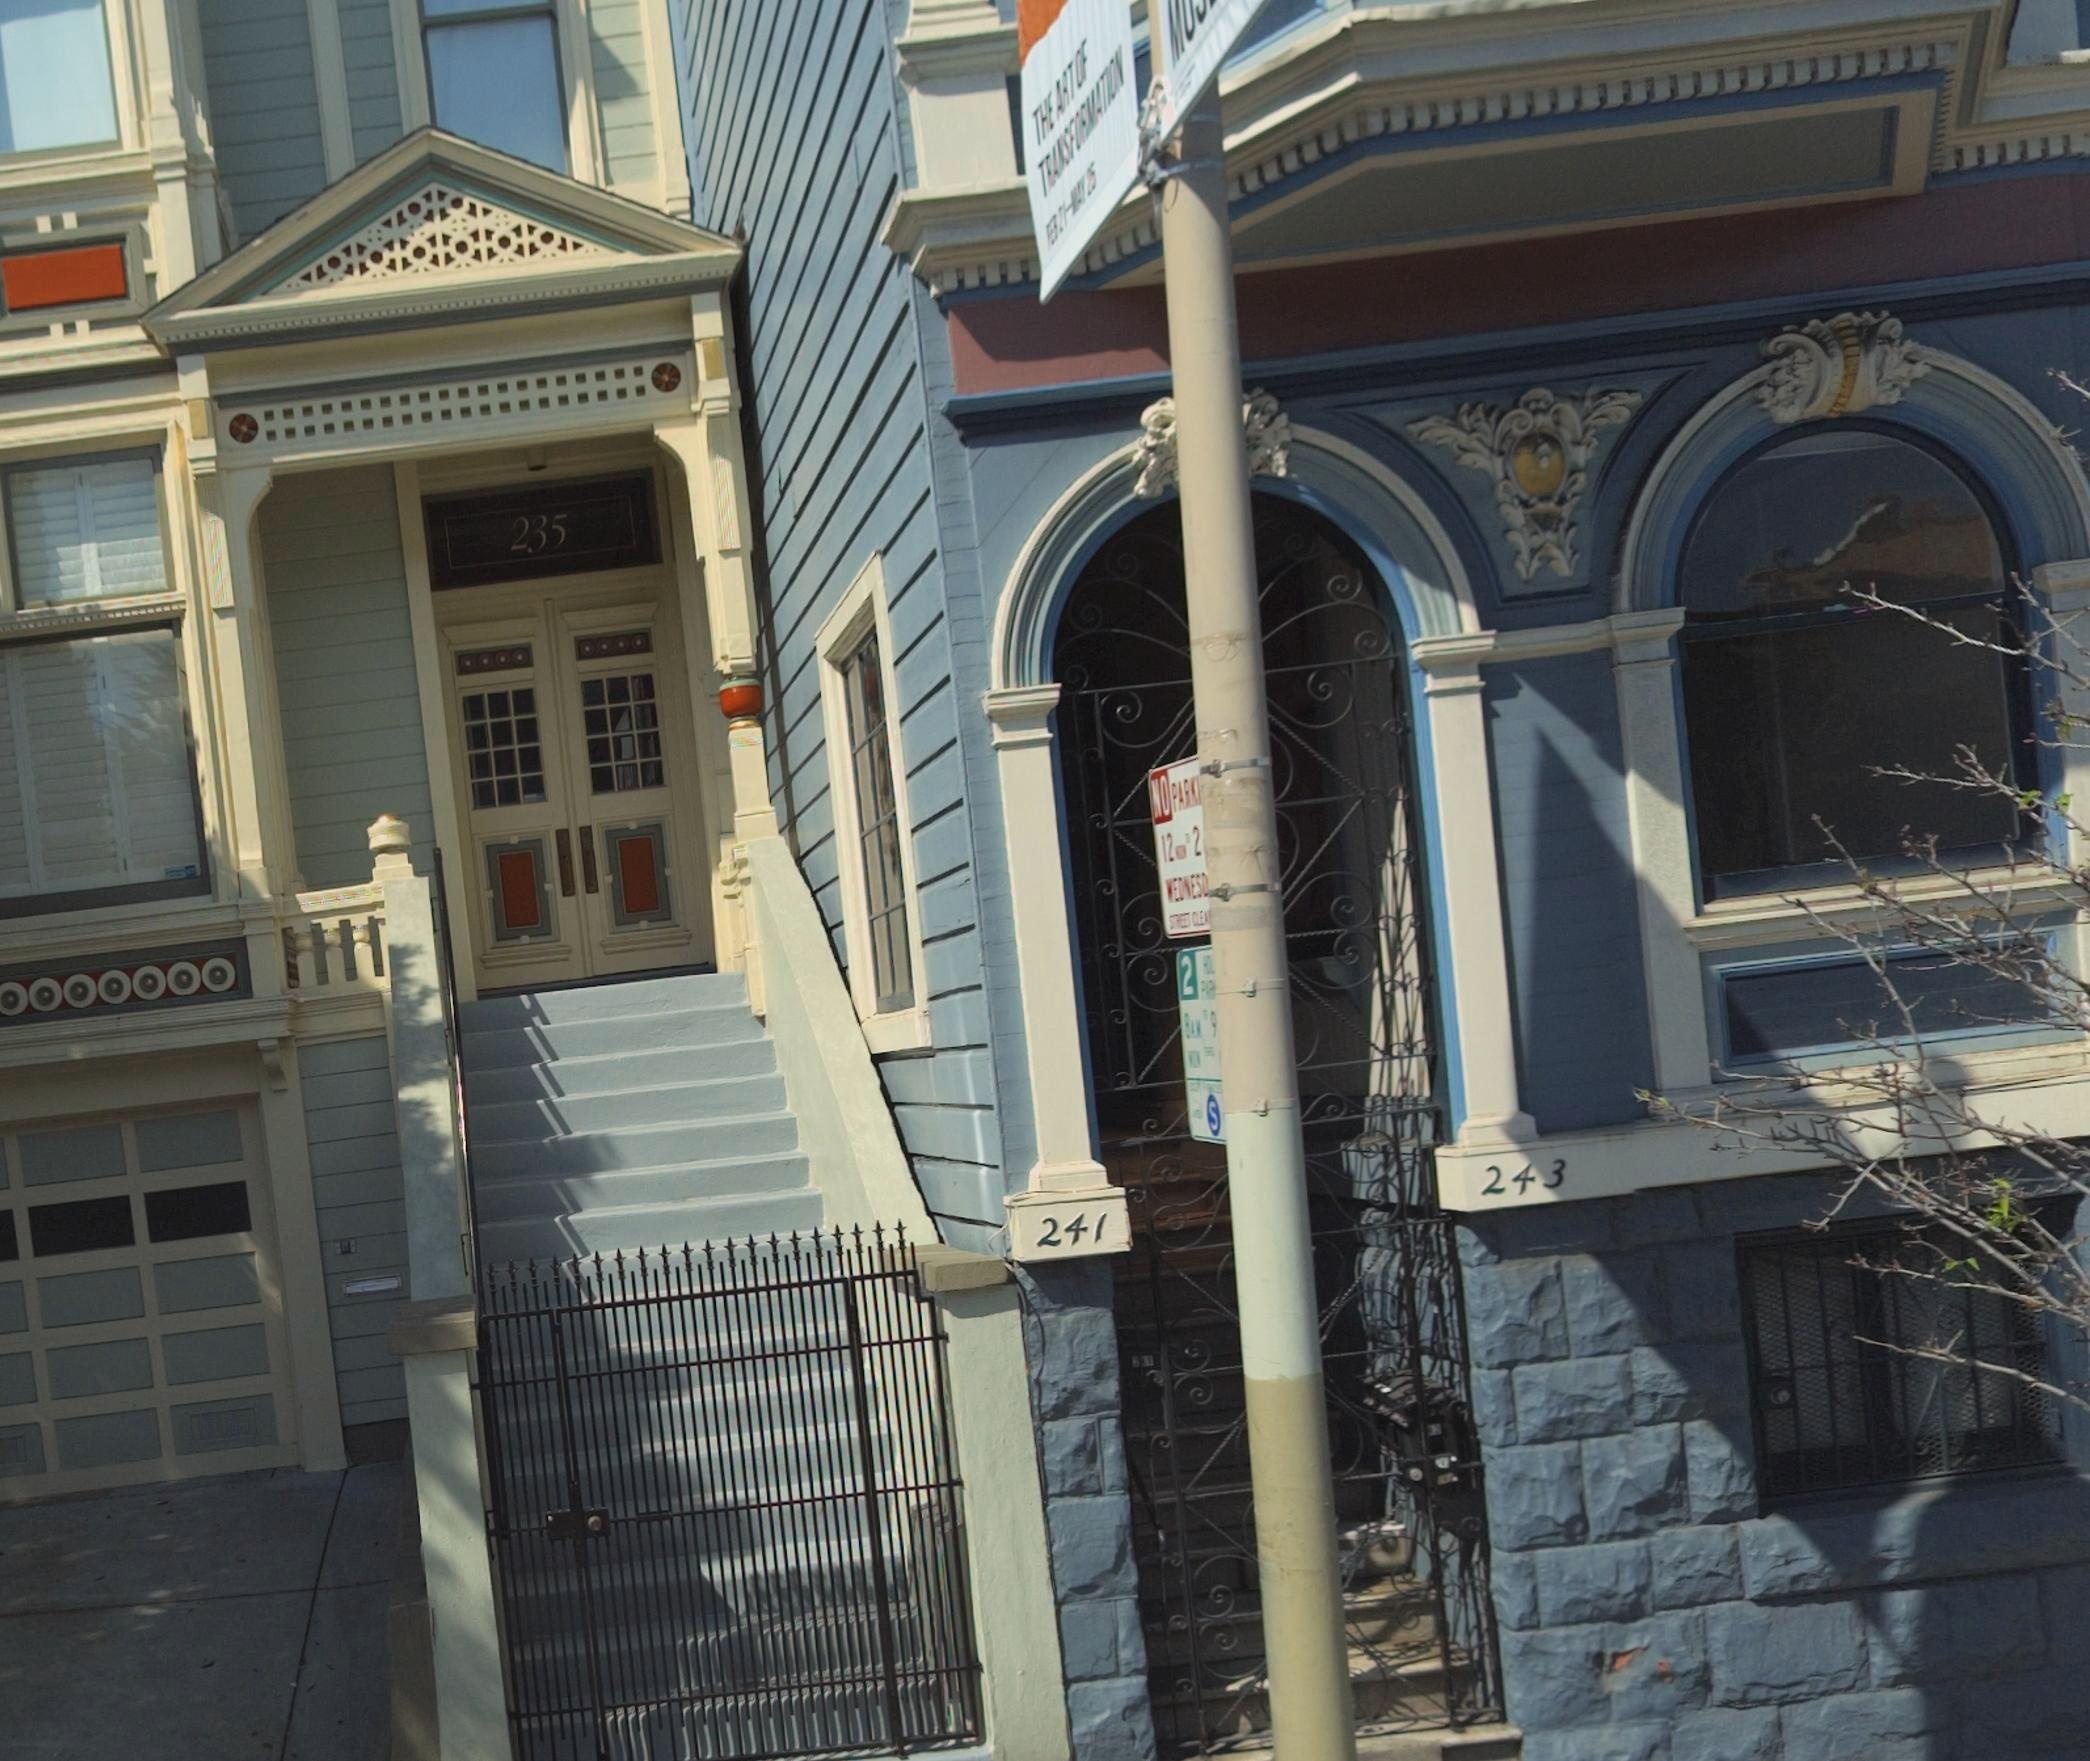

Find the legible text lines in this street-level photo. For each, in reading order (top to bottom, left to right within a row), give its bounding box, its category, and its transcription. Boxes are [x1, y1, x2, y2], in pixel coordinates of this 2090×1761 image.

[1029, 31, 1096, 150] None: THE ART OF
[509, 510, 571, 556] StreetNumber: 235
[1148, 771, 1198, 824] None: NO PARK
[1160, 830, 1176, 865] None: 12
[1187, 822, 1204, 858] None: 2
[1163, 873, 1202, 905] None: WEDNES
[1175, 952, 1197, 1001] None: 2
[1179, 1009, 1202, 1041] None: 8AM
[1206, 1095, 1221, 1134] None: S
[1475, 1153, 1572, 1200] StreetNumber: 243
[1034, 1209, 1111, 1249] StreetNumber: 241